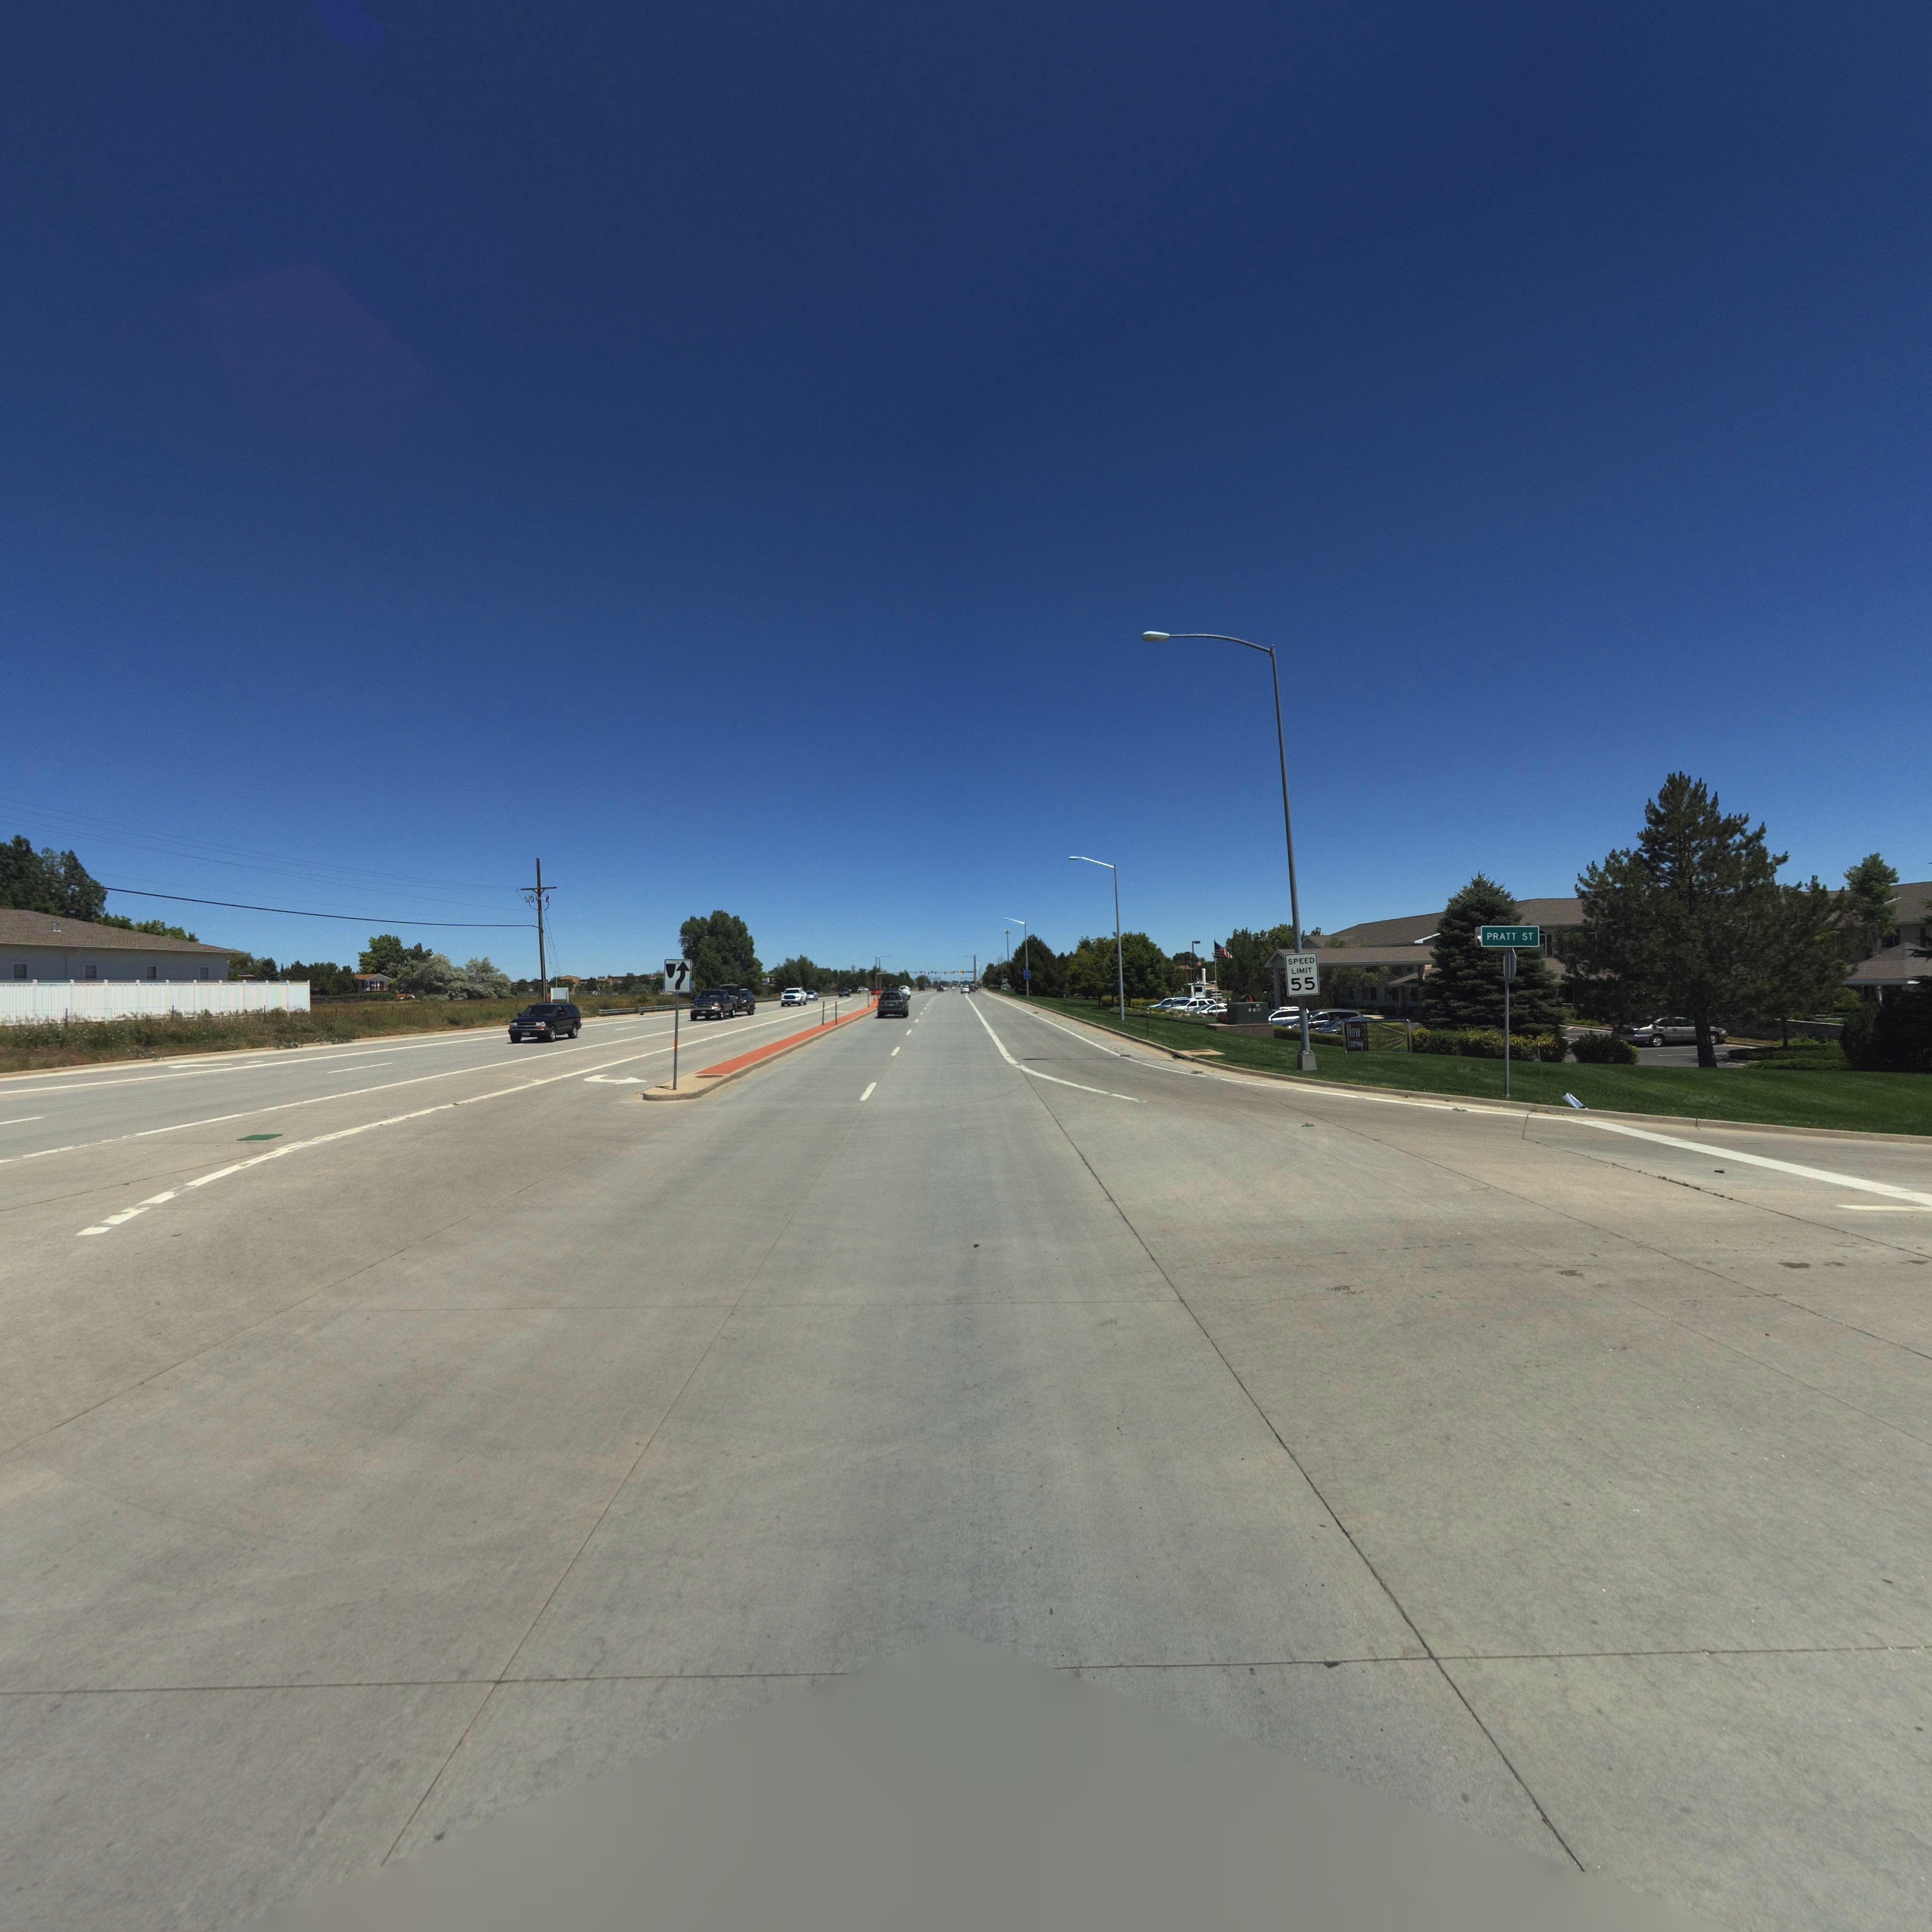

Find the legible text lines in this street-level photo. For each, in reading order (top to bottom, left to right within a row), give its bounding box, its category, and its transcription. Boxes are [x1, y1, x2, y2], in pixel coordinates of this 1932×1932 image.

[1487, 932, 1534, 940] StreetName: PRATT ST